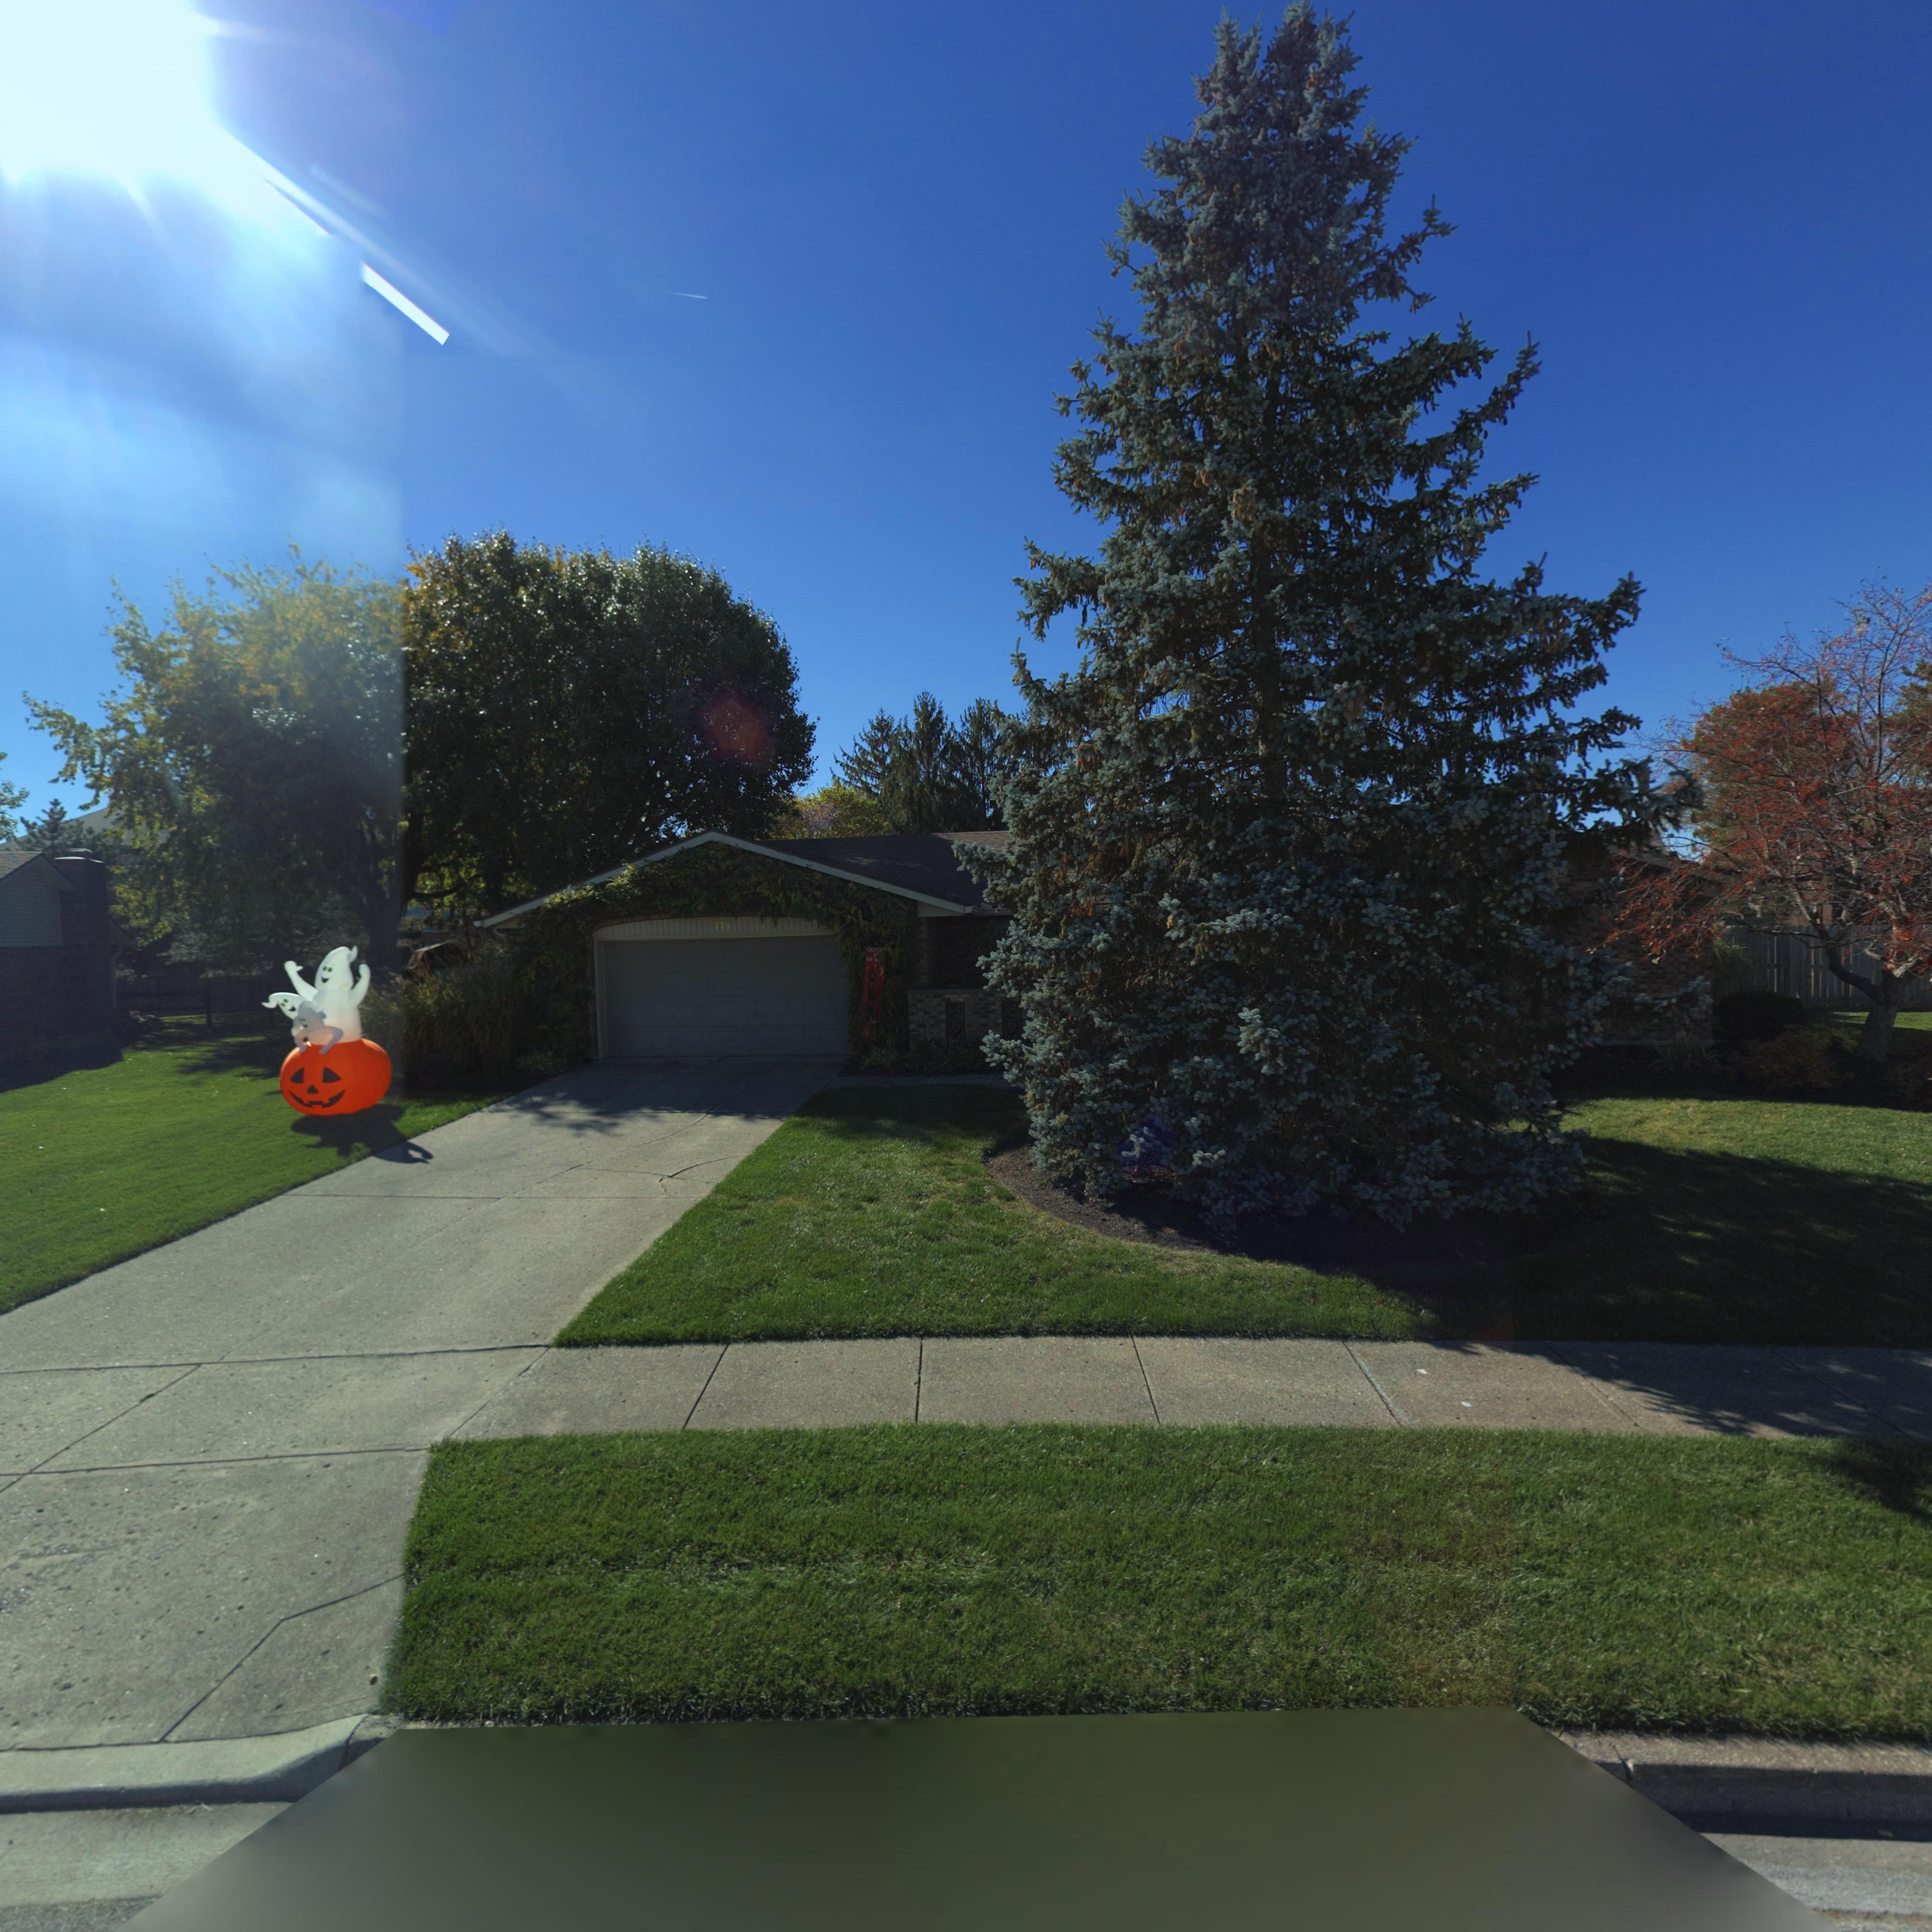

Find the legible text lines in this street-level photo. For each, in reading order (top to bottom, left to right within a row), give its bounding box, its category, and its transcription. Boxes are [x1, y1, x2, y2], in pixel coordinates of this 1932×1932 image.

[713, 921, 732, 930] StreetNumber: 775